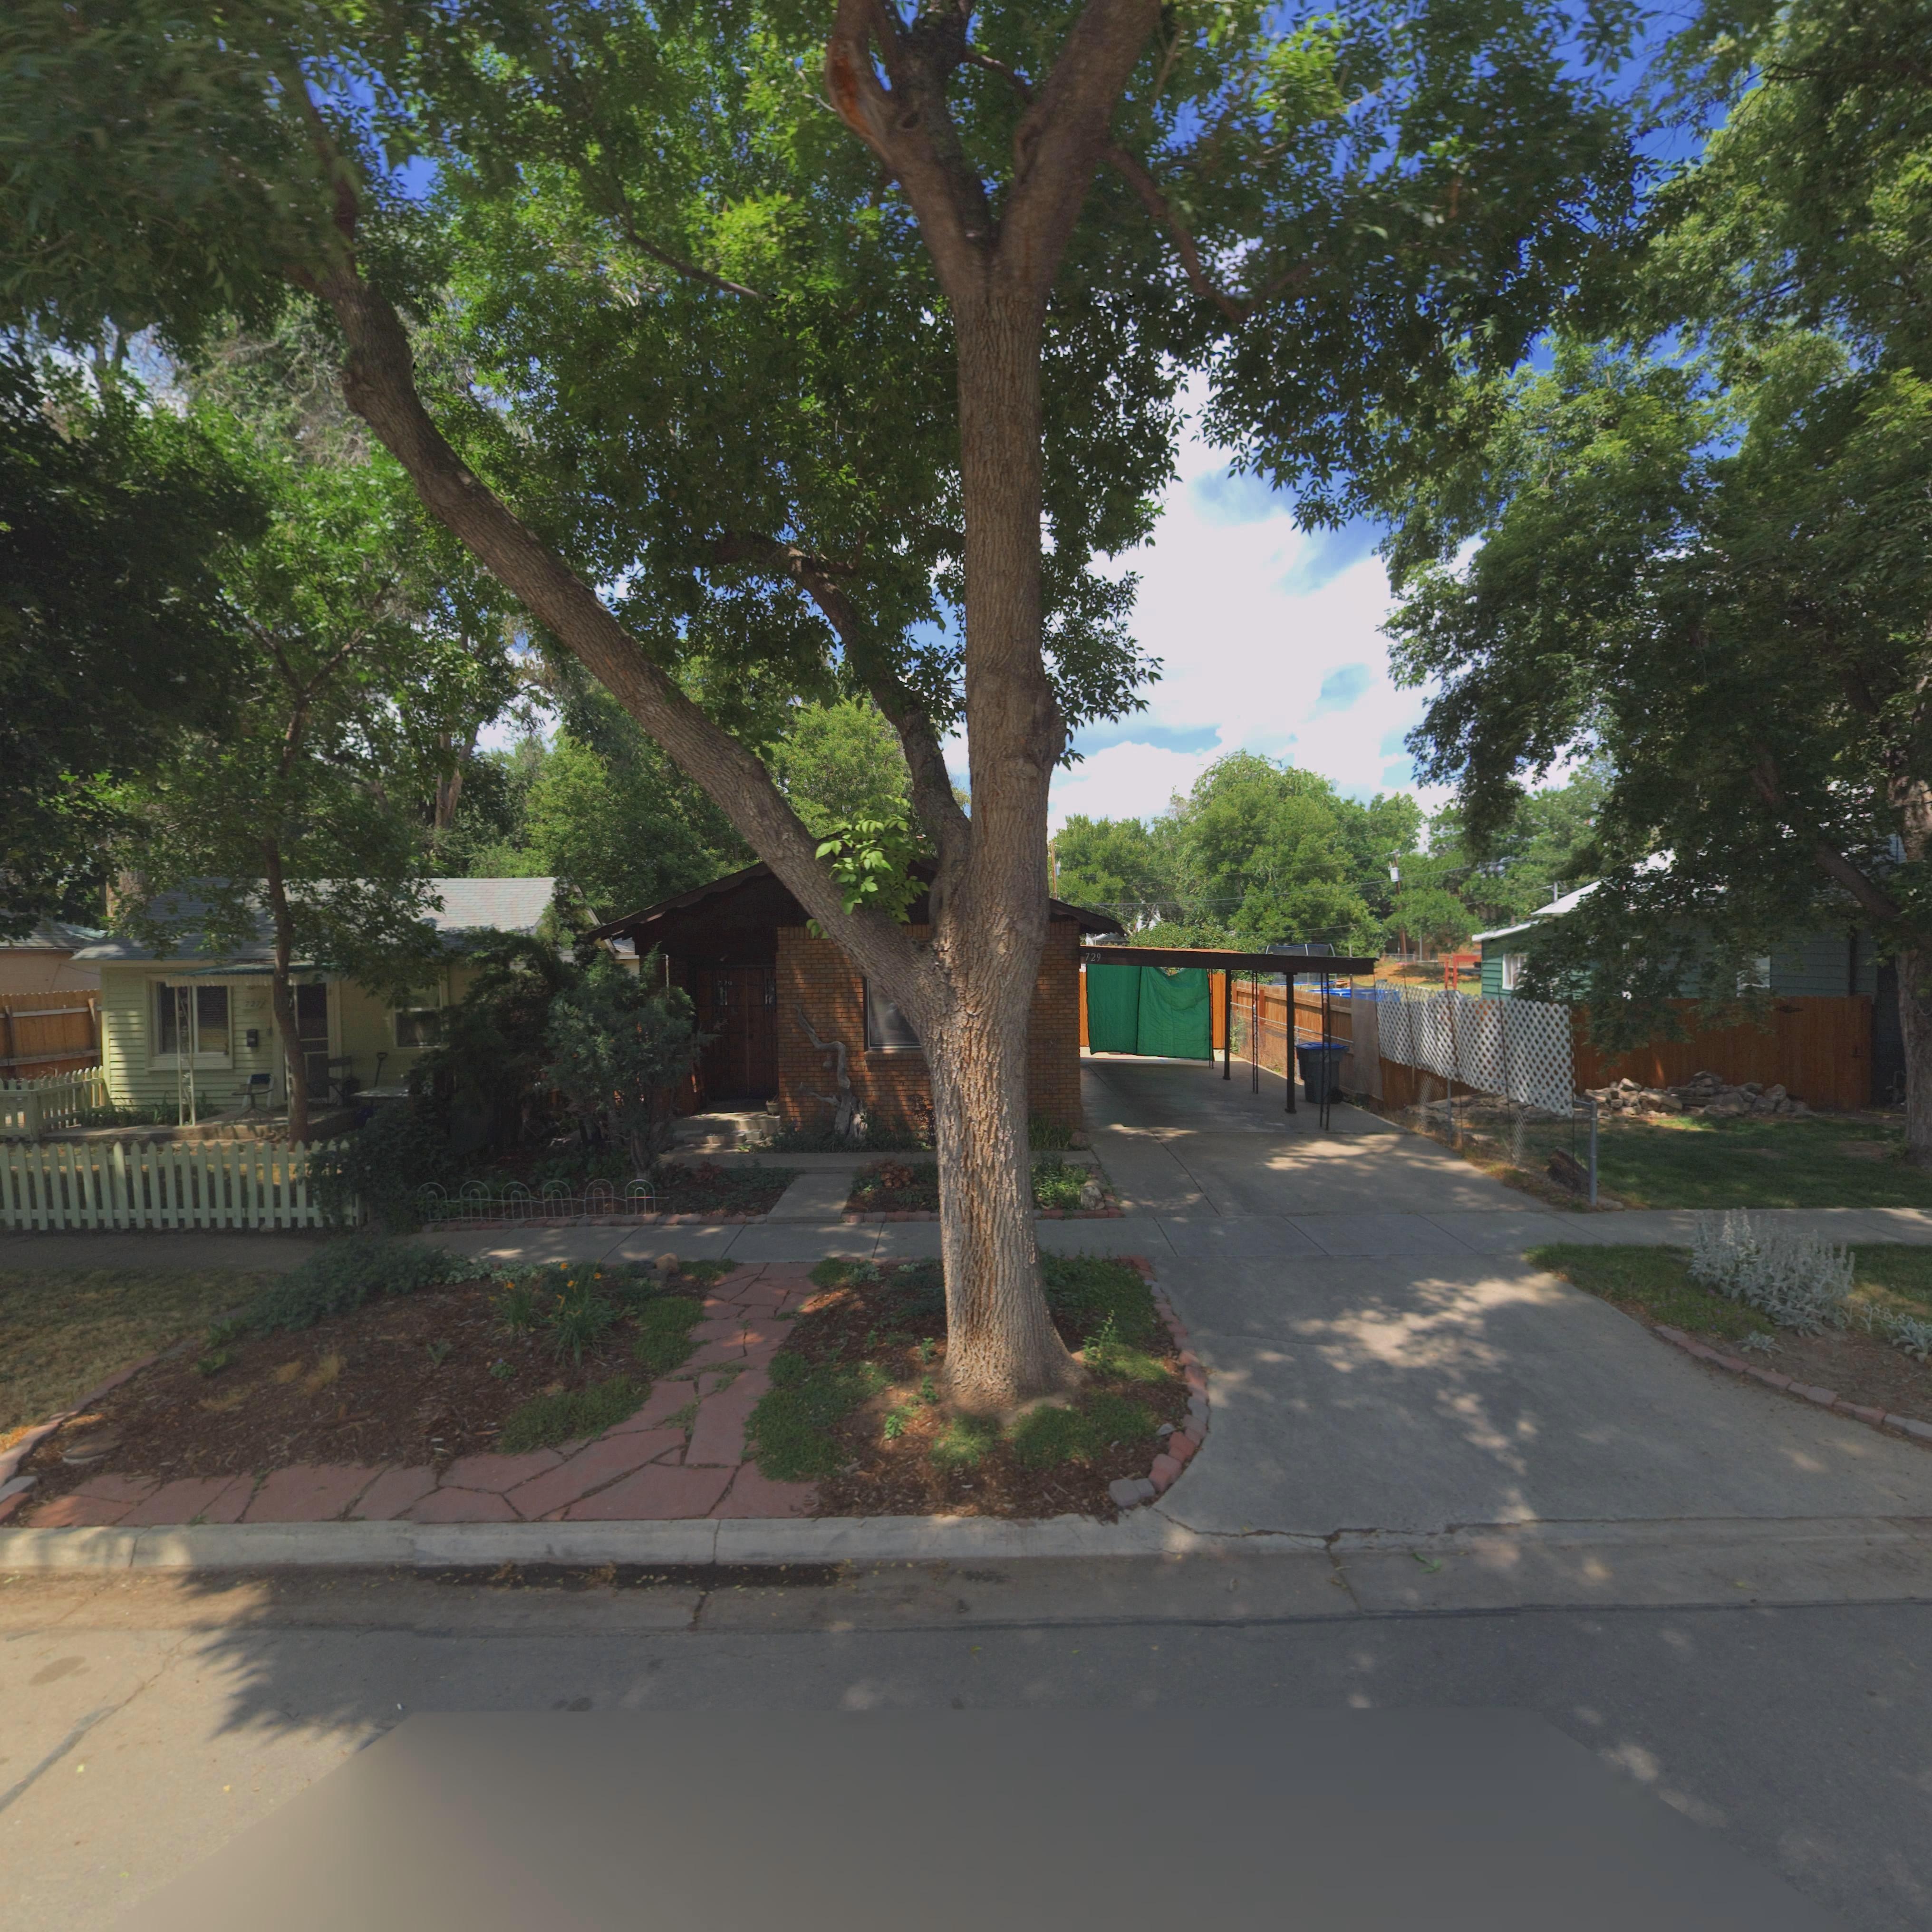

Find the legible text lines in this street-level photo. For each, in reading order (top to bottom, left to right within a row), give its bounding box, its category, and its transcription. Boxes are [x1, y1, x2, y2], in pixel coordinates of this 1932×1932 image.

[1085, 952, 1101, 962] StreetNumber: 729
[717, 979, 732, 986] StreetNumber: 72*
[243, 1000, 262, 1007] StreetNumber: 727